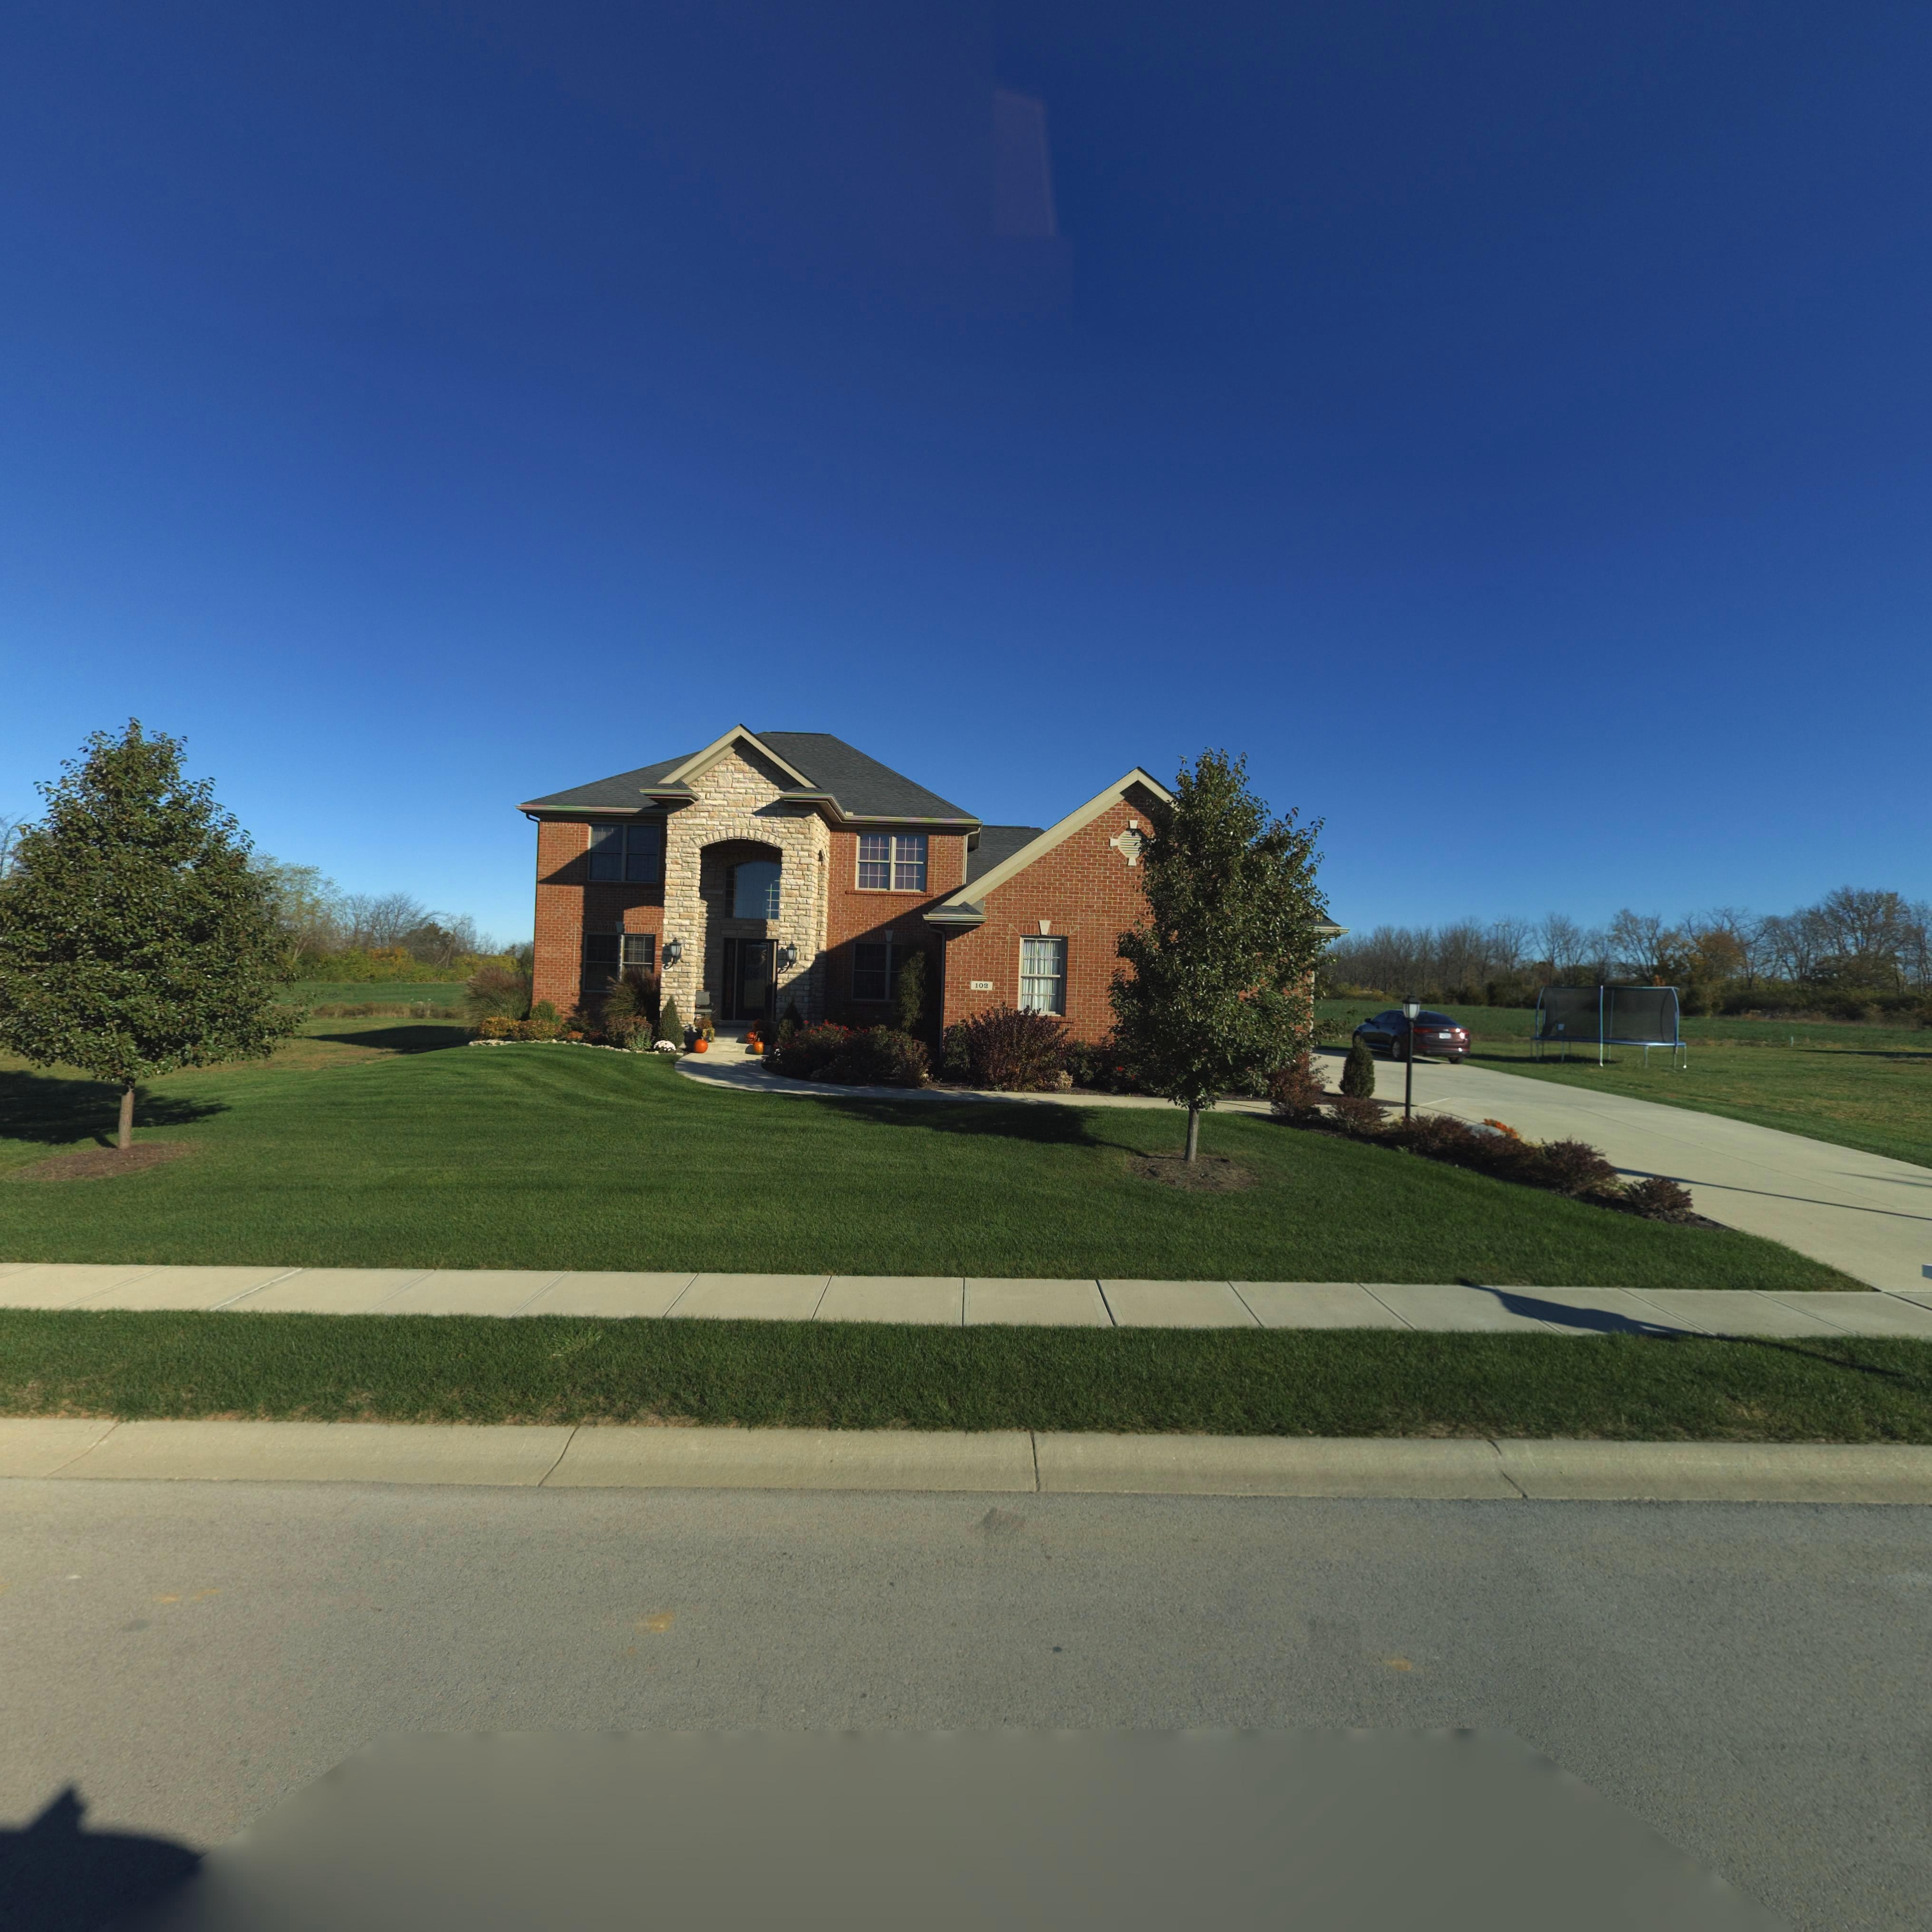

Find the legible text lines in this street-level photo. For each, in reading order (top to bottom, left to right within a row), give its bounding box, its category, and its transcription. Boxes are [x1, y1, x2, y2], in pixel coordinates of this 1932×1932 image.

[975, 982, 989, 989] StreetNumber: 102